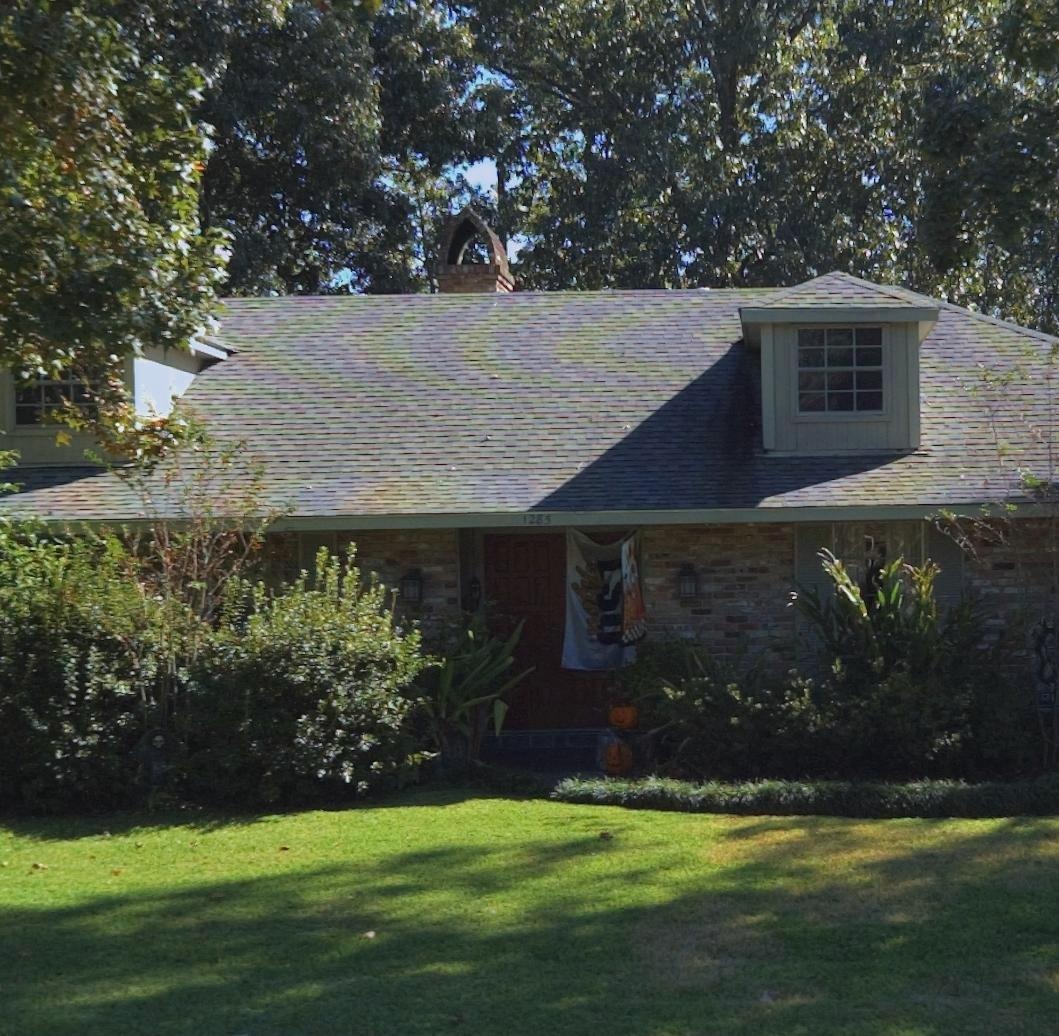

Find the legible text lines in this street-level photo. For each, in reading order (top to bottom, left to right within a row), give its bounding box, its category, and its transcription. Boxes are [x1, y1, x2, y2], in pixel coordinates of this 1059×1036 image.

[521, 512, 553, 527] StreetNumber: 1285